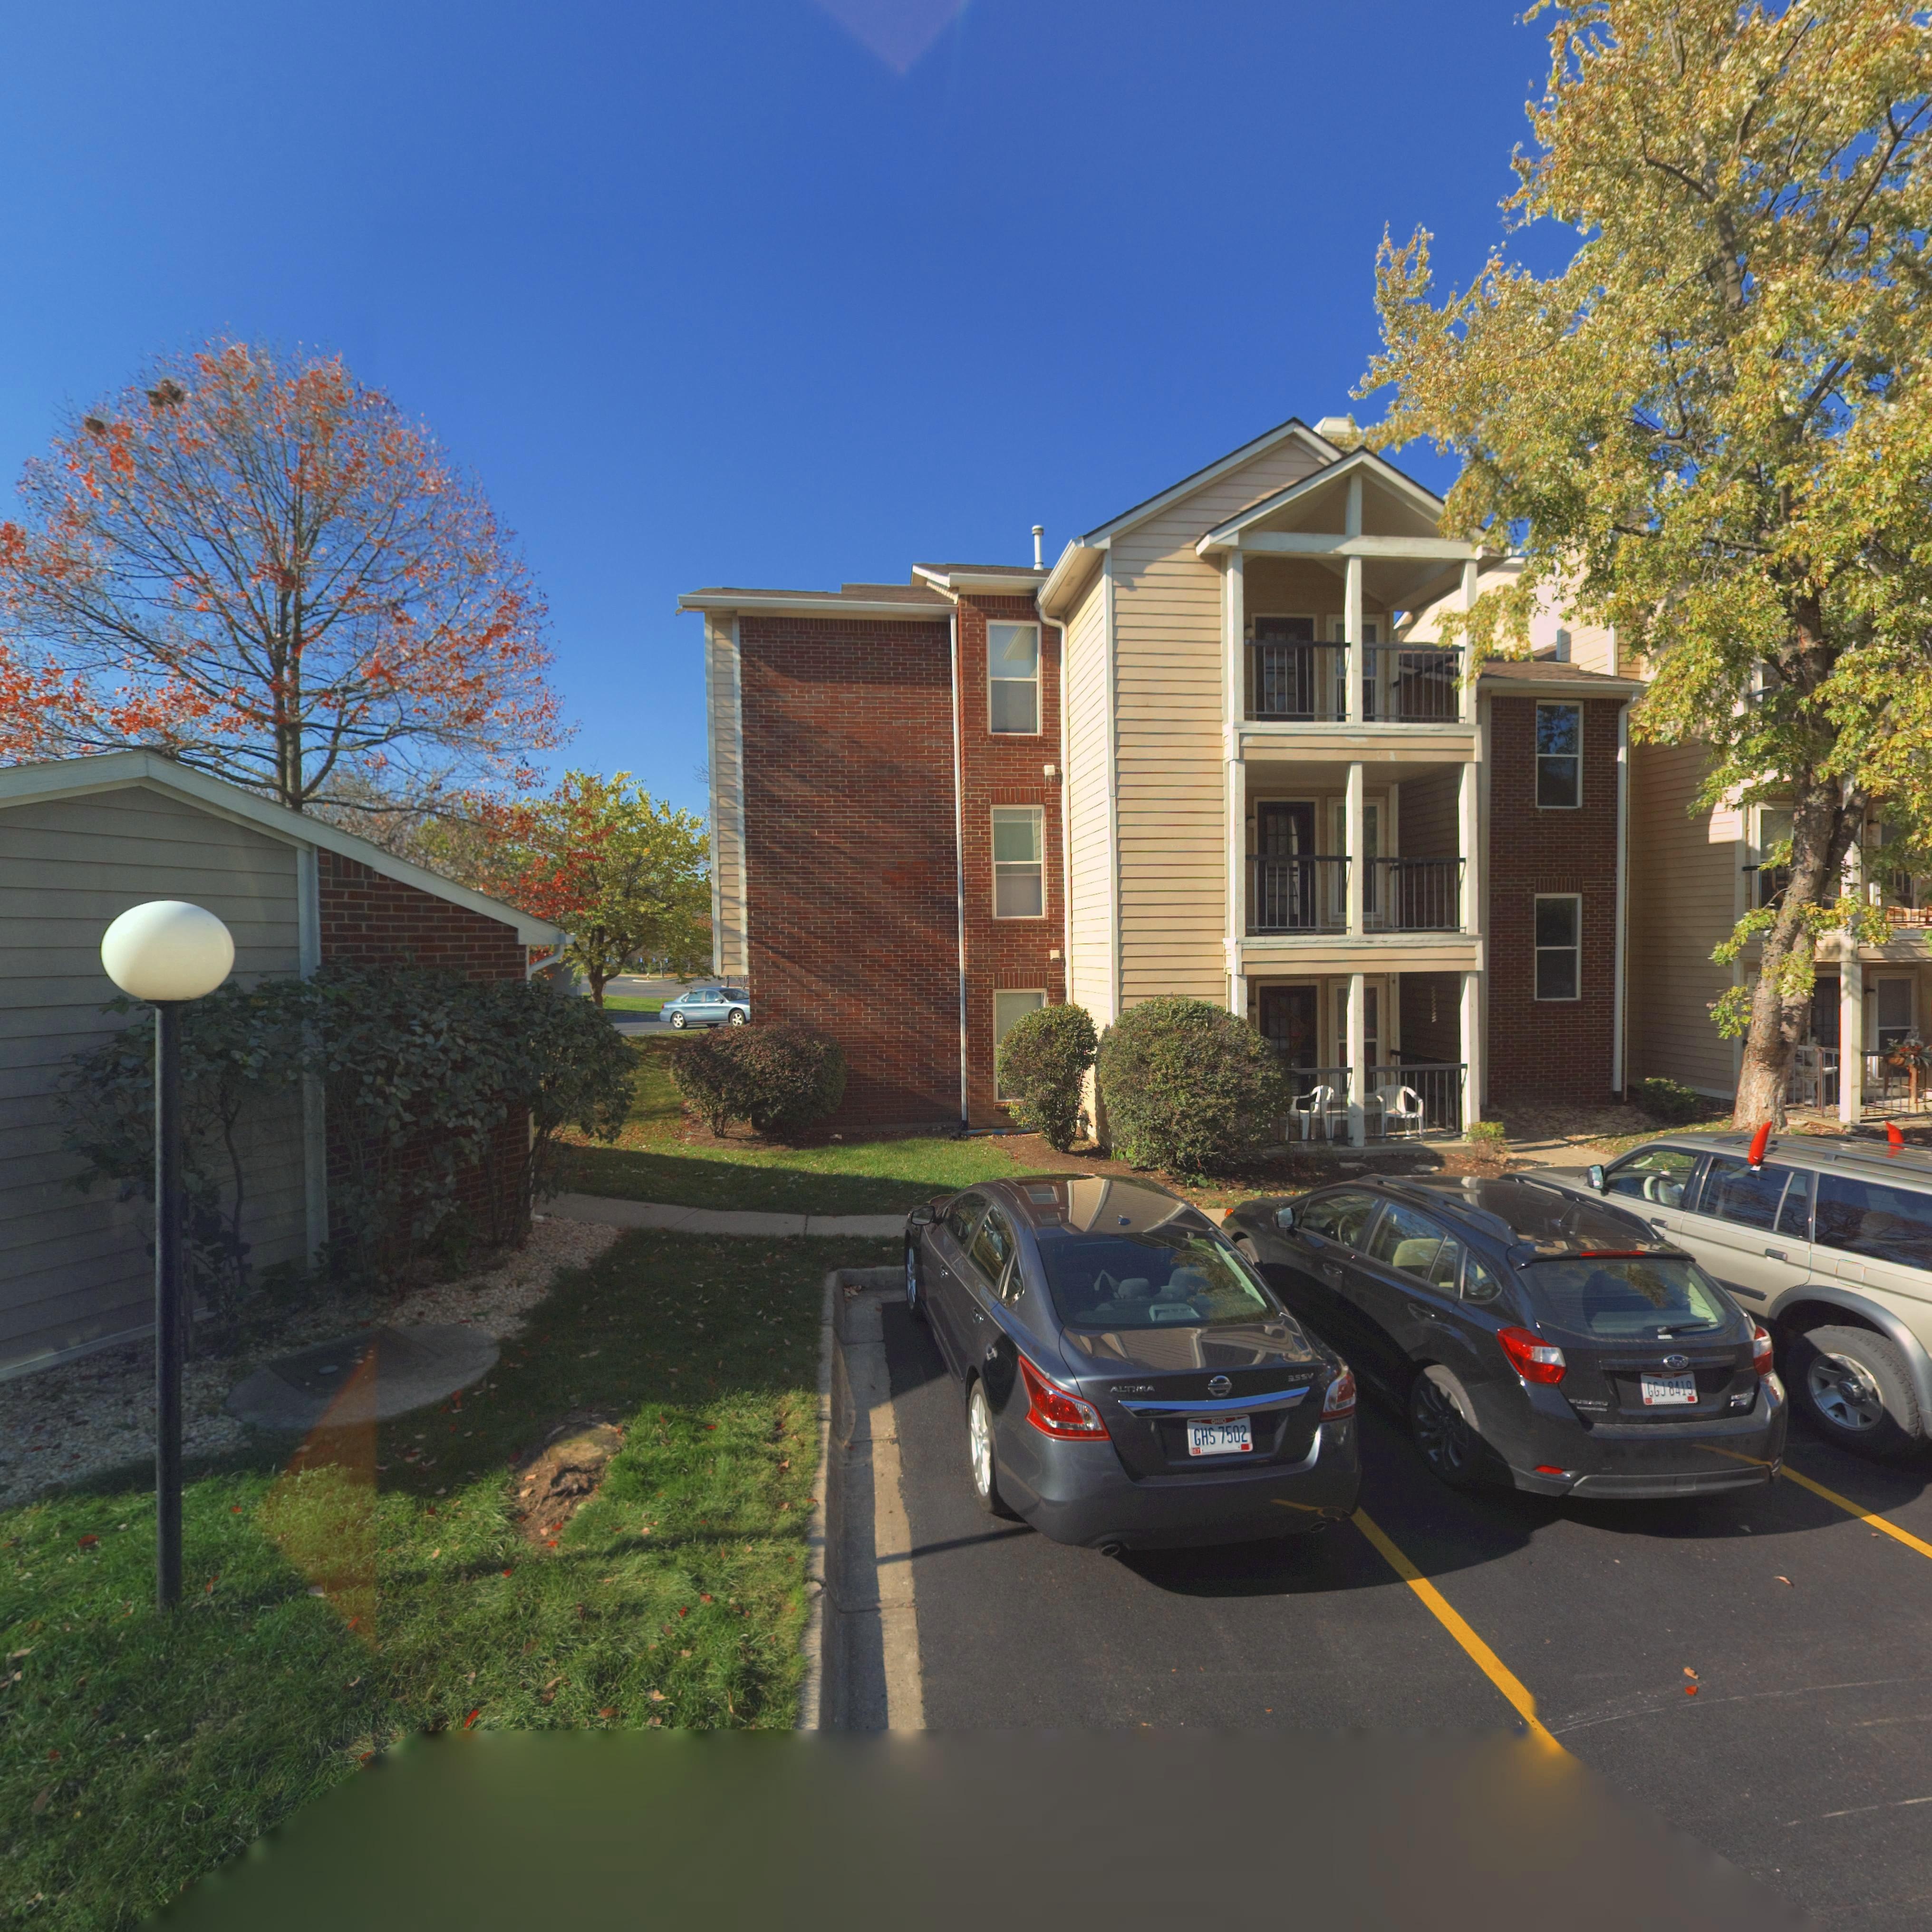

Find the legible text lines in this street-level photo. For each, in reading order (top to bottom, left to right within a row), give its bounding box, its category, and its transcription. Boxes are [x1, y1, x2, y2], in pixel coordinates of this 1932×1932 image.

[1286, 1372, 1315, 1384] None: 35SV
[1108, 1383, 1157, 1394] None: ALT**A
[1646, 1378, 1694, 1398] None: GGJ 8419
[1210, 1417, 1227, 1426] None: OHIO
[1193, 1423, 1249, 1447] None: GHS 7502